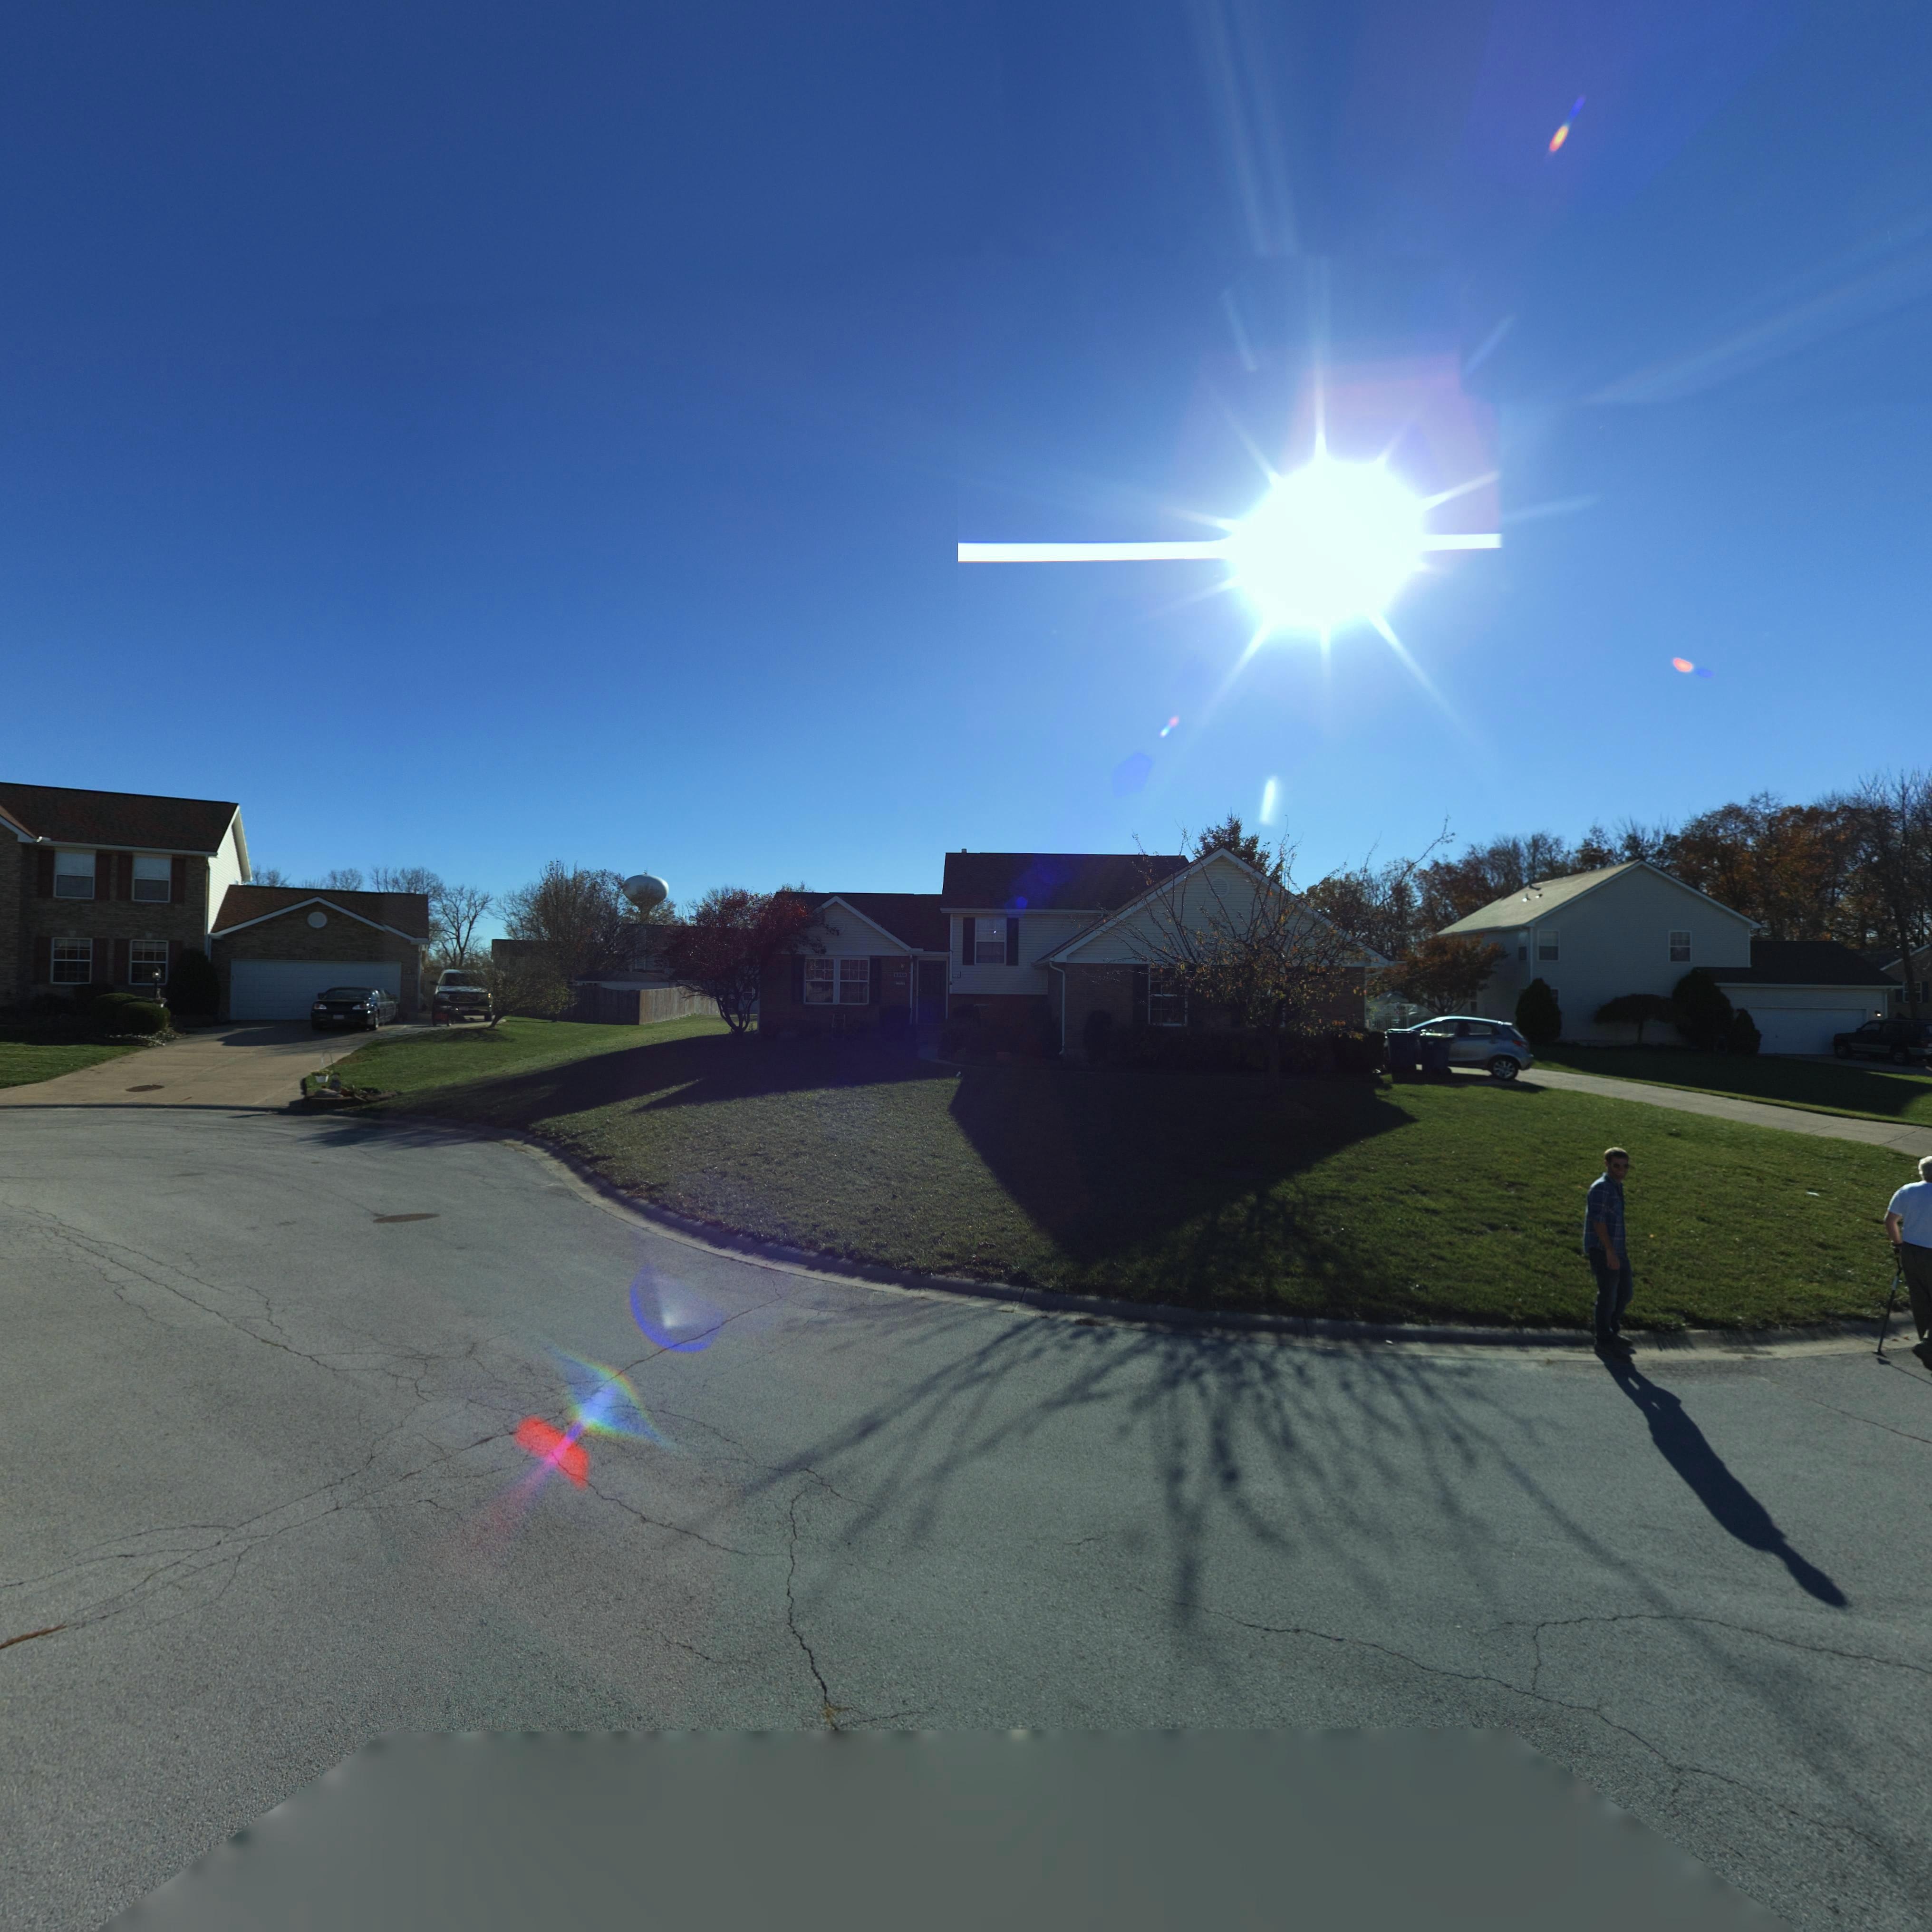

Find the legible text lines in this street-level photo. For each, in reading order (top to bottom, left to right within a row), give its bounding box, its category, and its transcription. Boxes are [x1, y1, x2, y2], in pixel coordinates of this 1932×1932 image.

[894, 973, 906, 976] StreetNumber: 6*50
[404, 975, 415, 979] StreetNumber: **5*